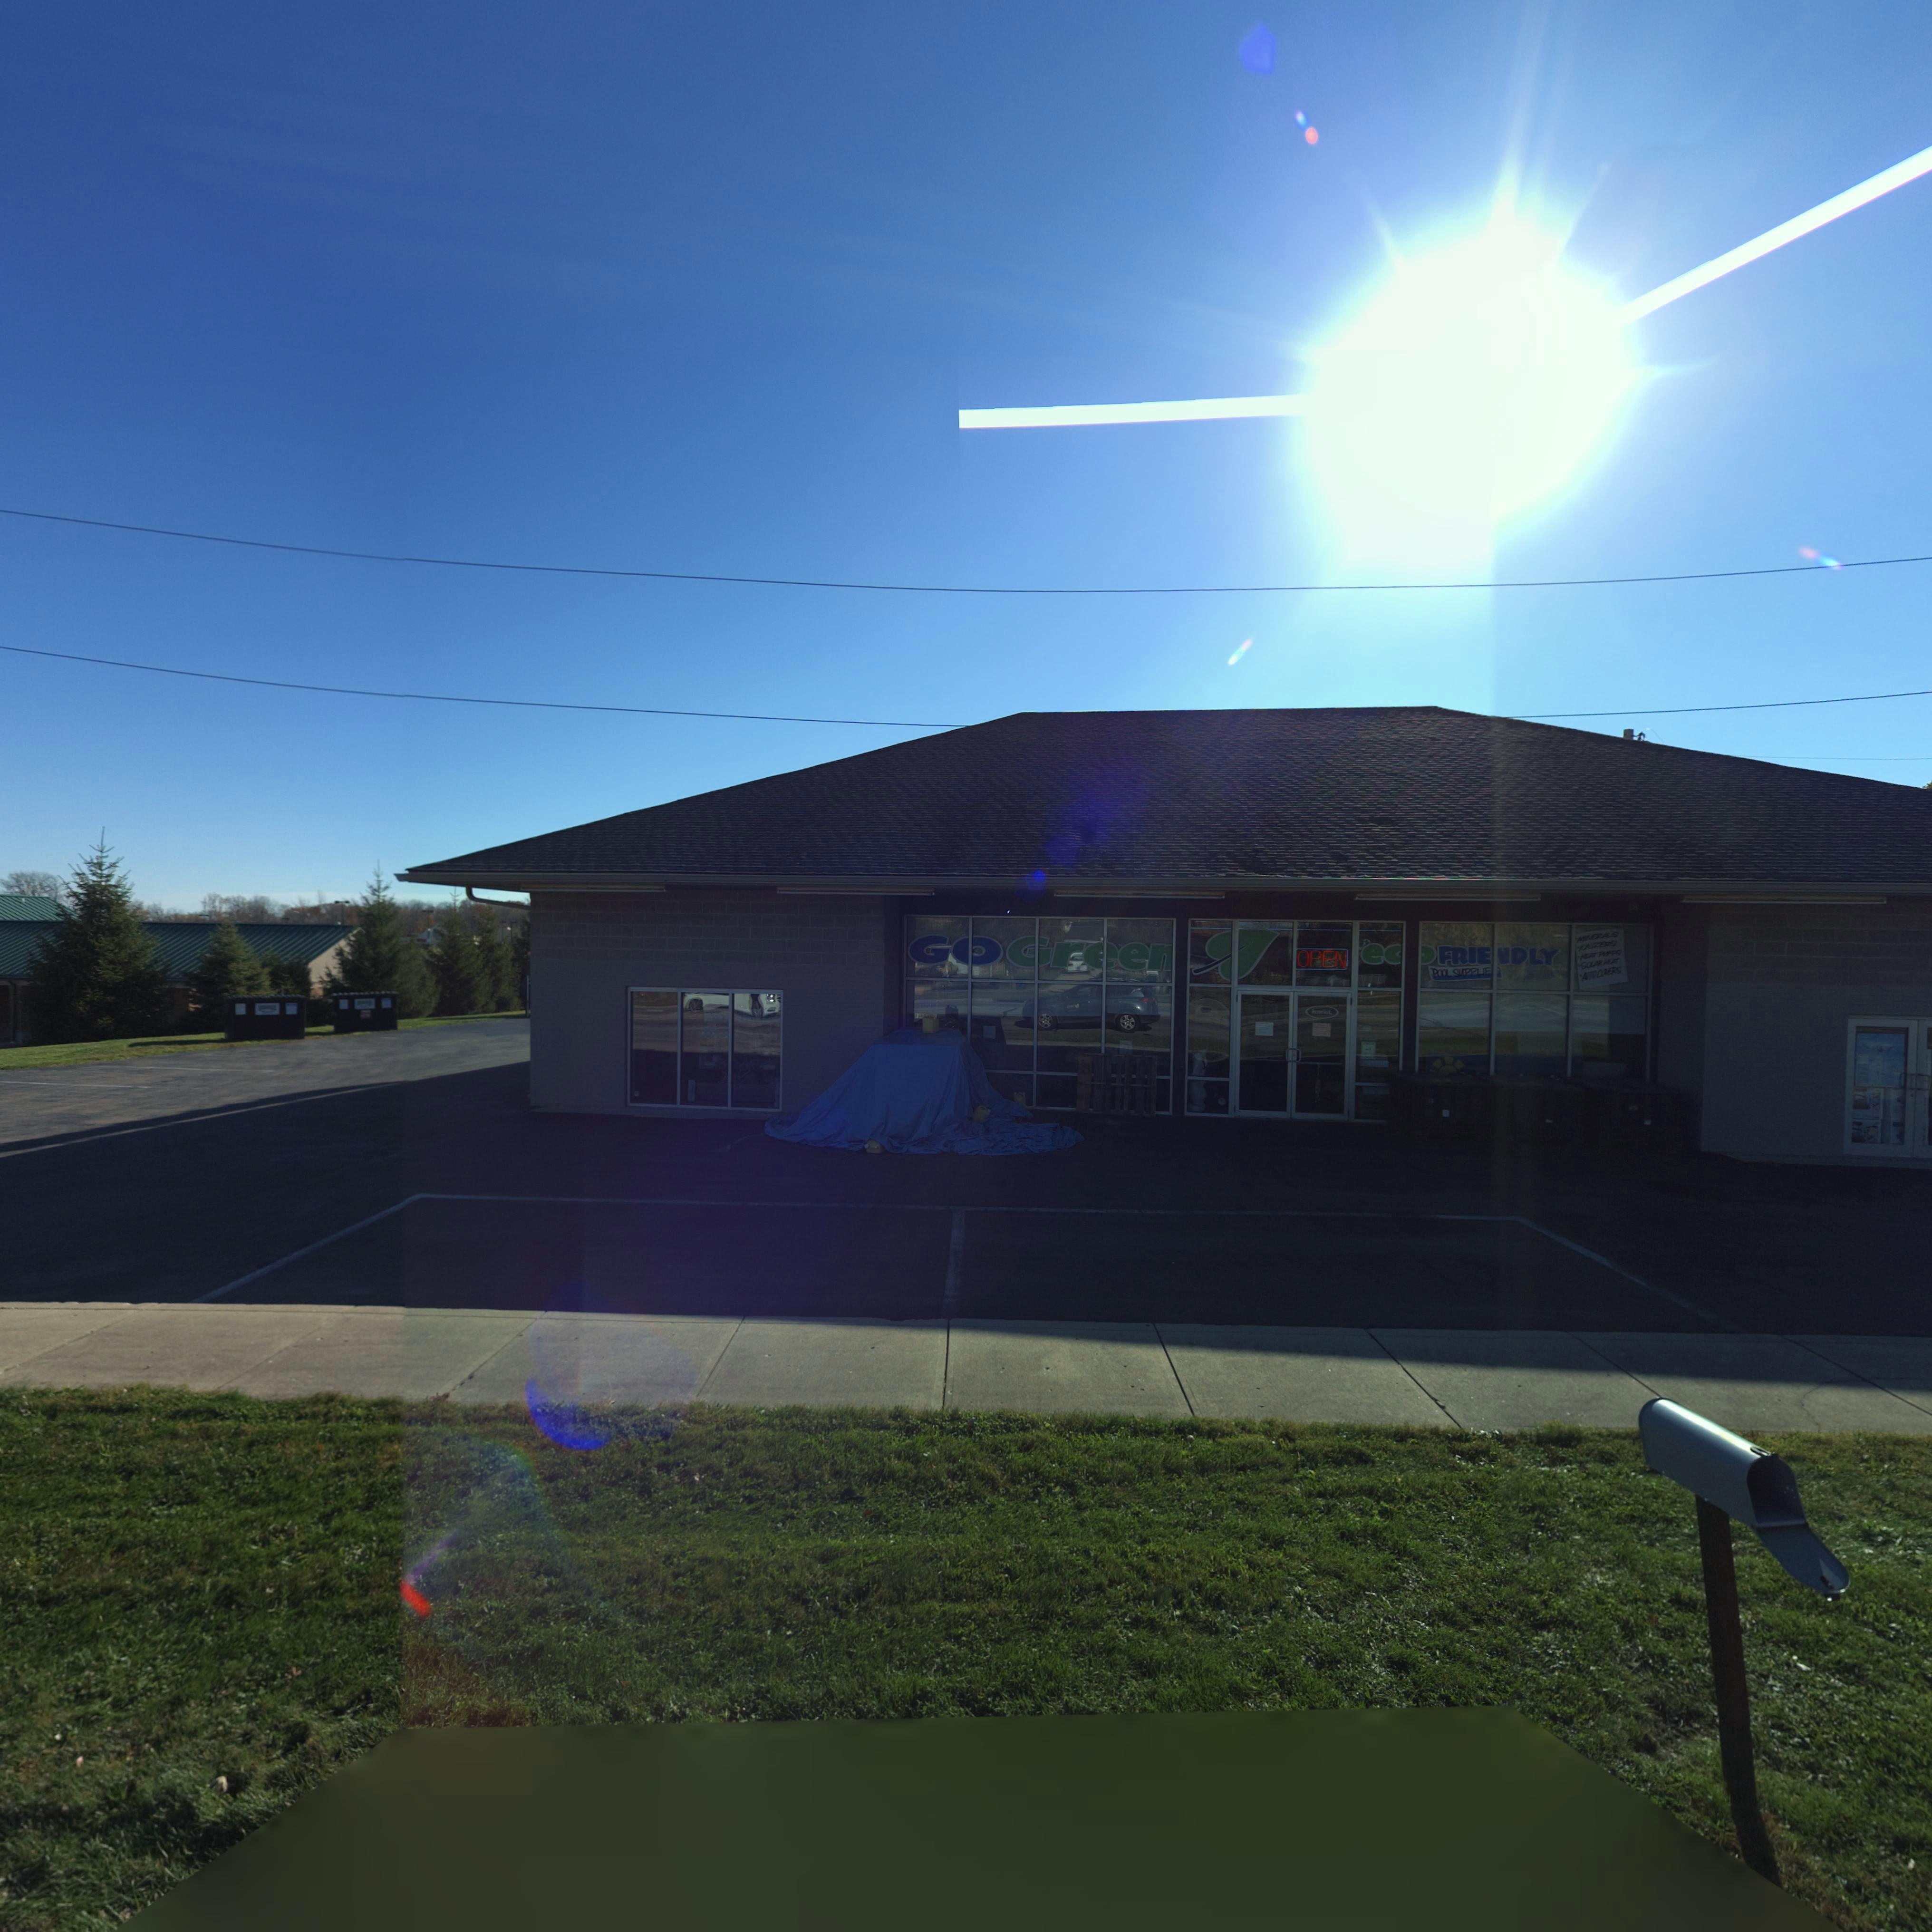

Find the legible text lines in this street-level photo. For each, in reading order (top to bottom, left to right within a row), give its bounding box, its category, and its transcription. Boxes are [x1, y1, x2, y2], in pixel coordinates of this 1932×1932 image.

[1280, 976, 1307, 983] StreetNumber: 77*00